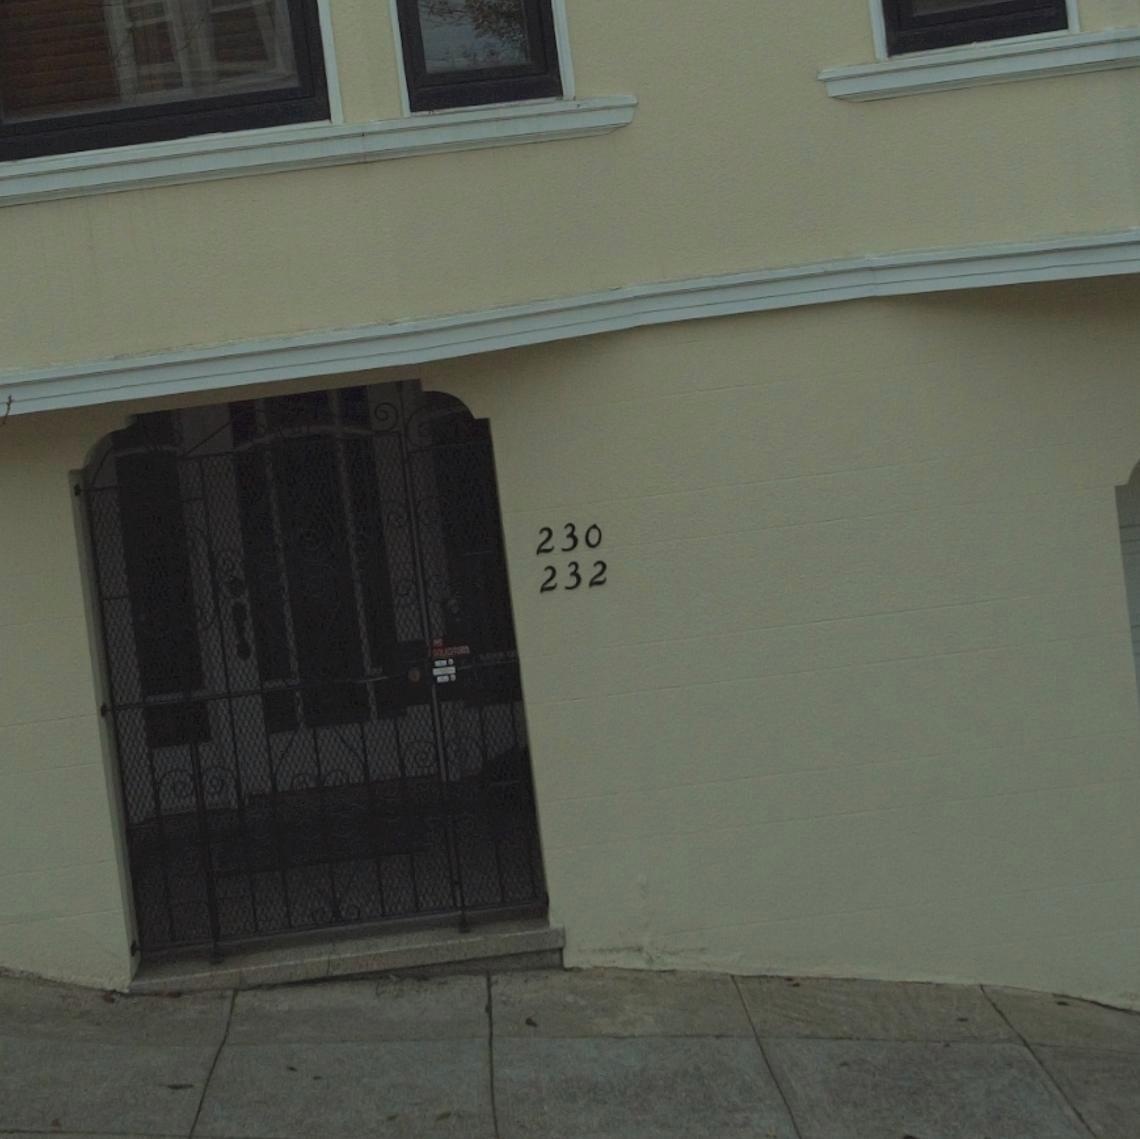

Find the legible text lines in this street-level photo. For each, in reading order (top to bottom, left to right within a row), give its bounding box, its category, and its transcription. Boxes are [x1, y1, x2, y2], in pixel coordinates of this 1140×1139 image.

[535, 518, 603, 556] StreetNumber: 230
[539, 558, 611, 595] StreetNumber: 232